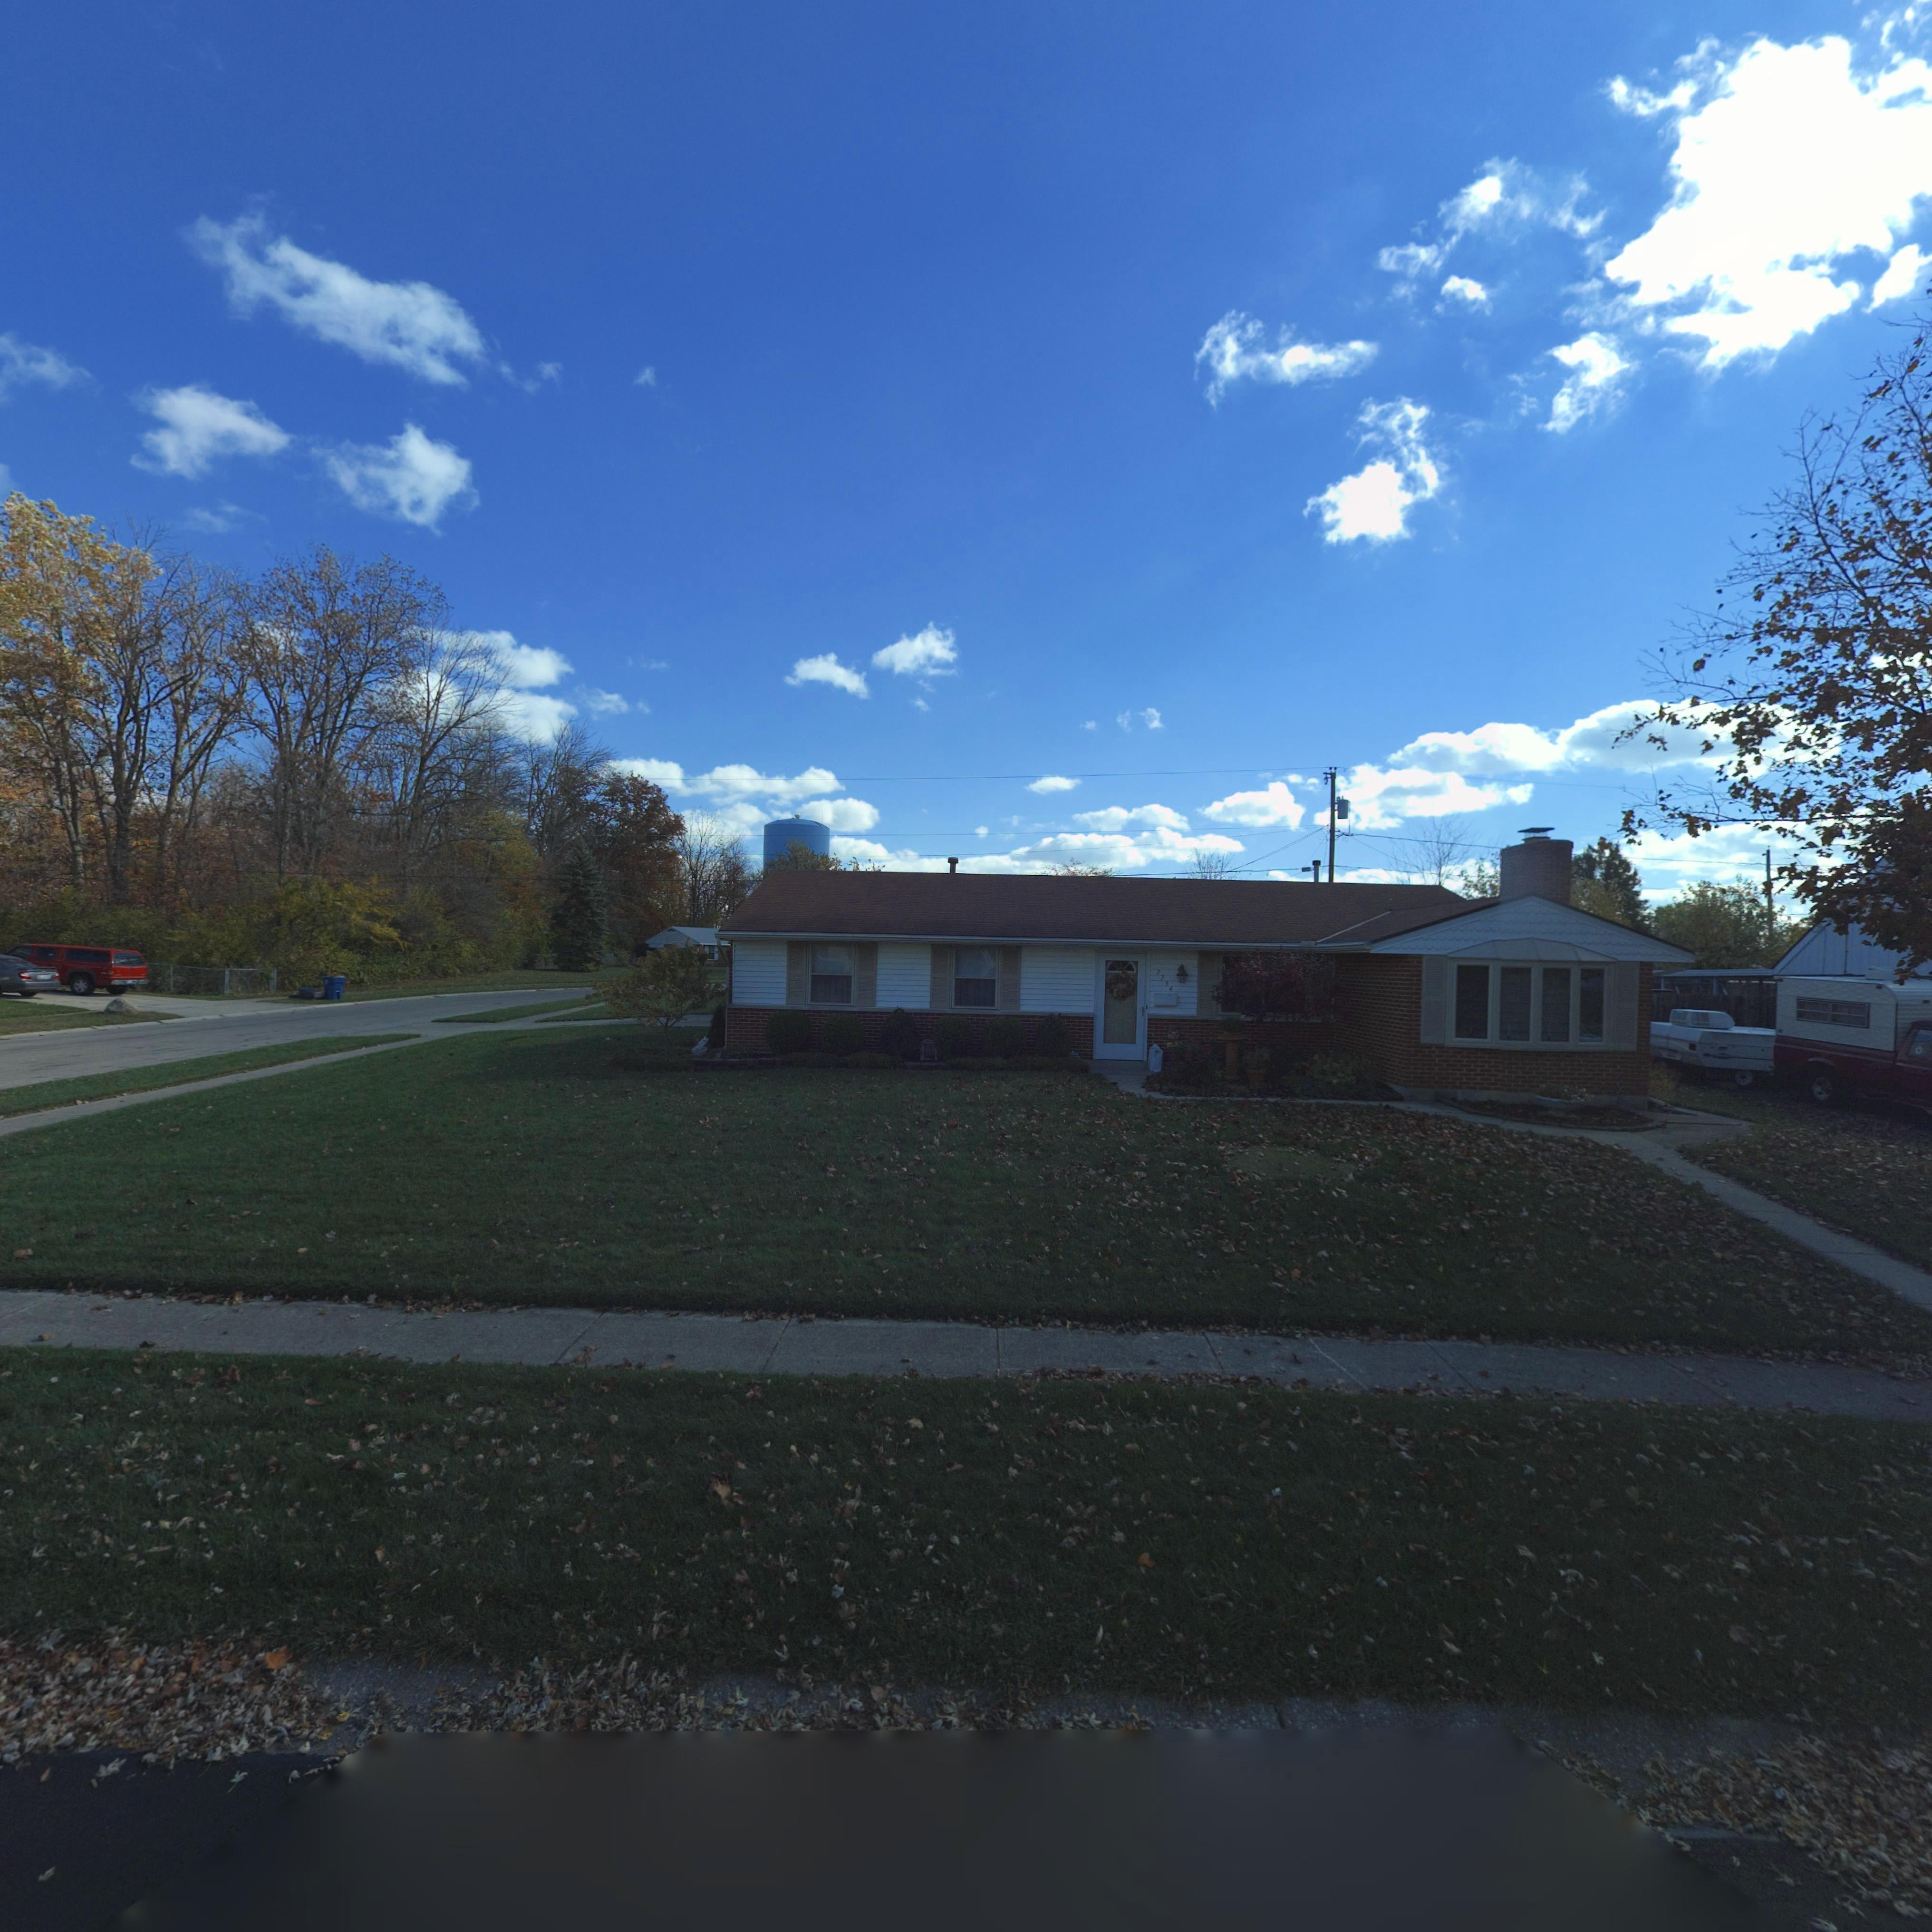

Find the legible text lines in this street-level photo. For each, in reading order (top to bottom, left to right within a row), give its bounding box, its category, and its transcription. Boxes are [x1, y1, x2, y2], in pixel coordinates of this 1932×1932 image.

[1156, 969, 1173, 993] StreetNumber: 7794